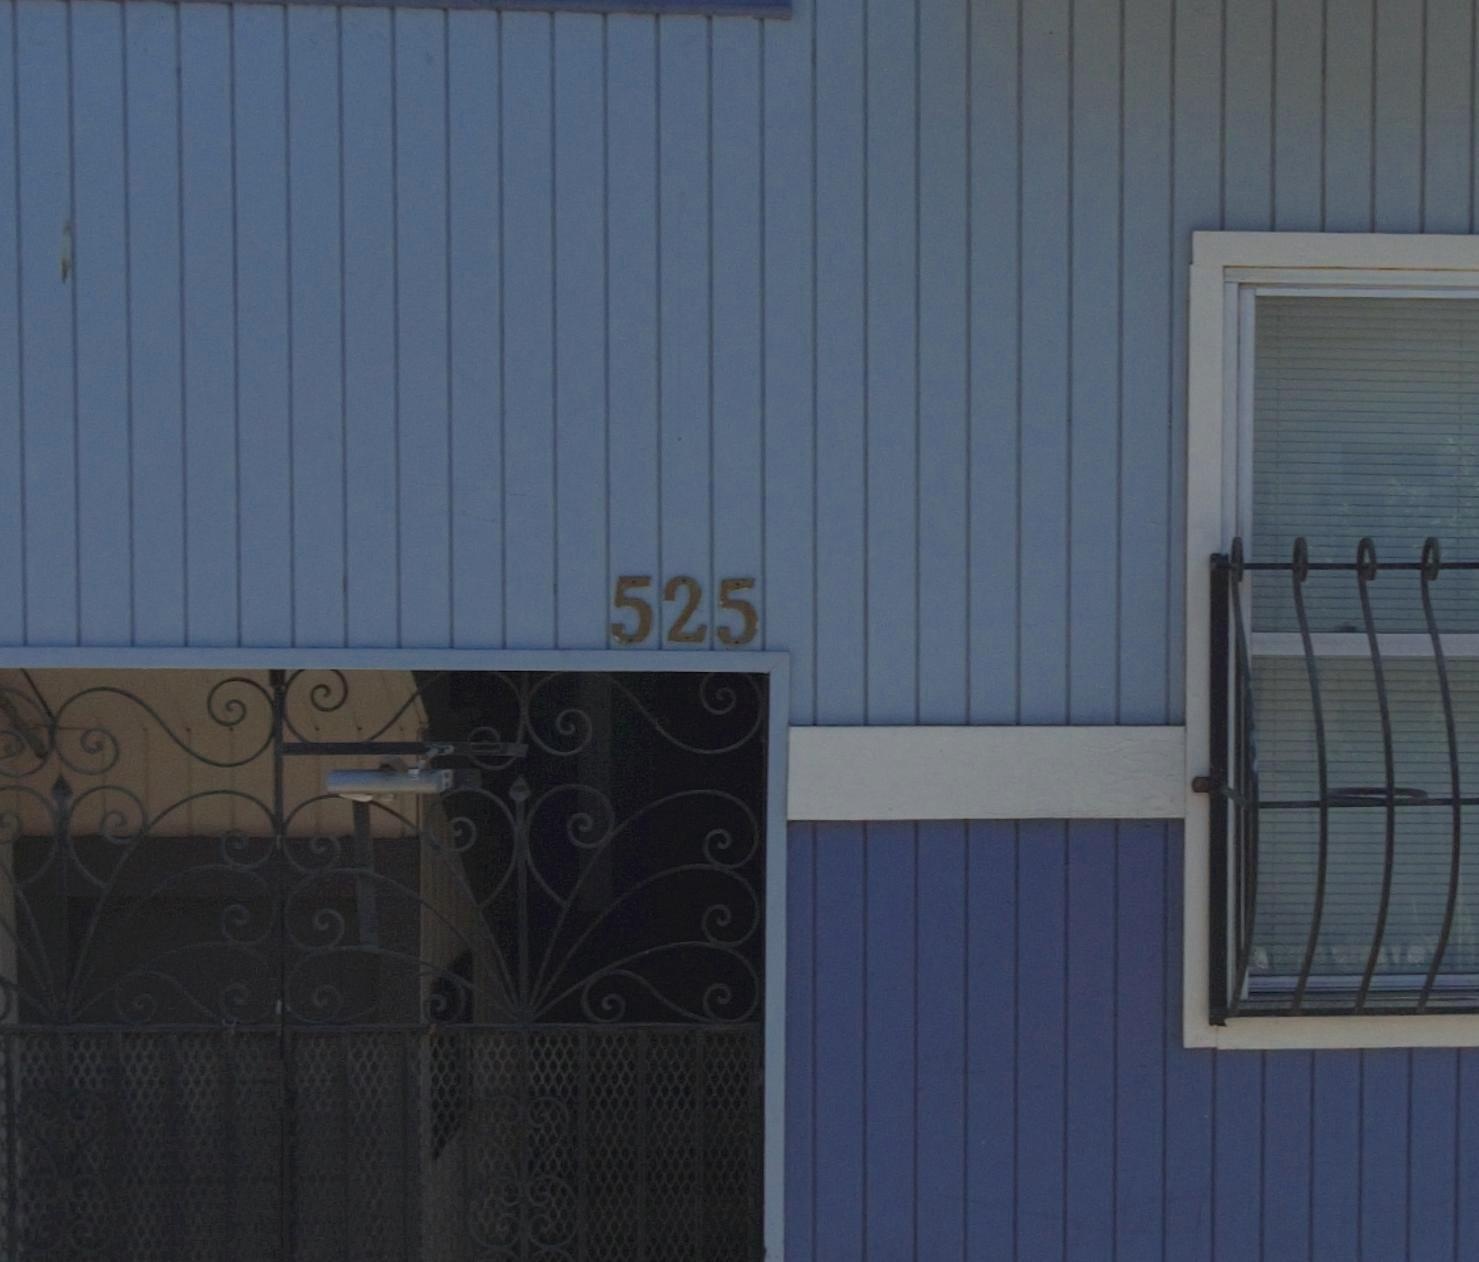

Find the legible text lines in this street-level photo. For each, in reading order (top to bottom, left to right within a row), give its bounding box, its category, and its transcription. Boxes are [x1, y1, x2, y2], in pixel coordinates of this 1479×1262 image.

[610, 573, 761, 647] StreetNumber: 525